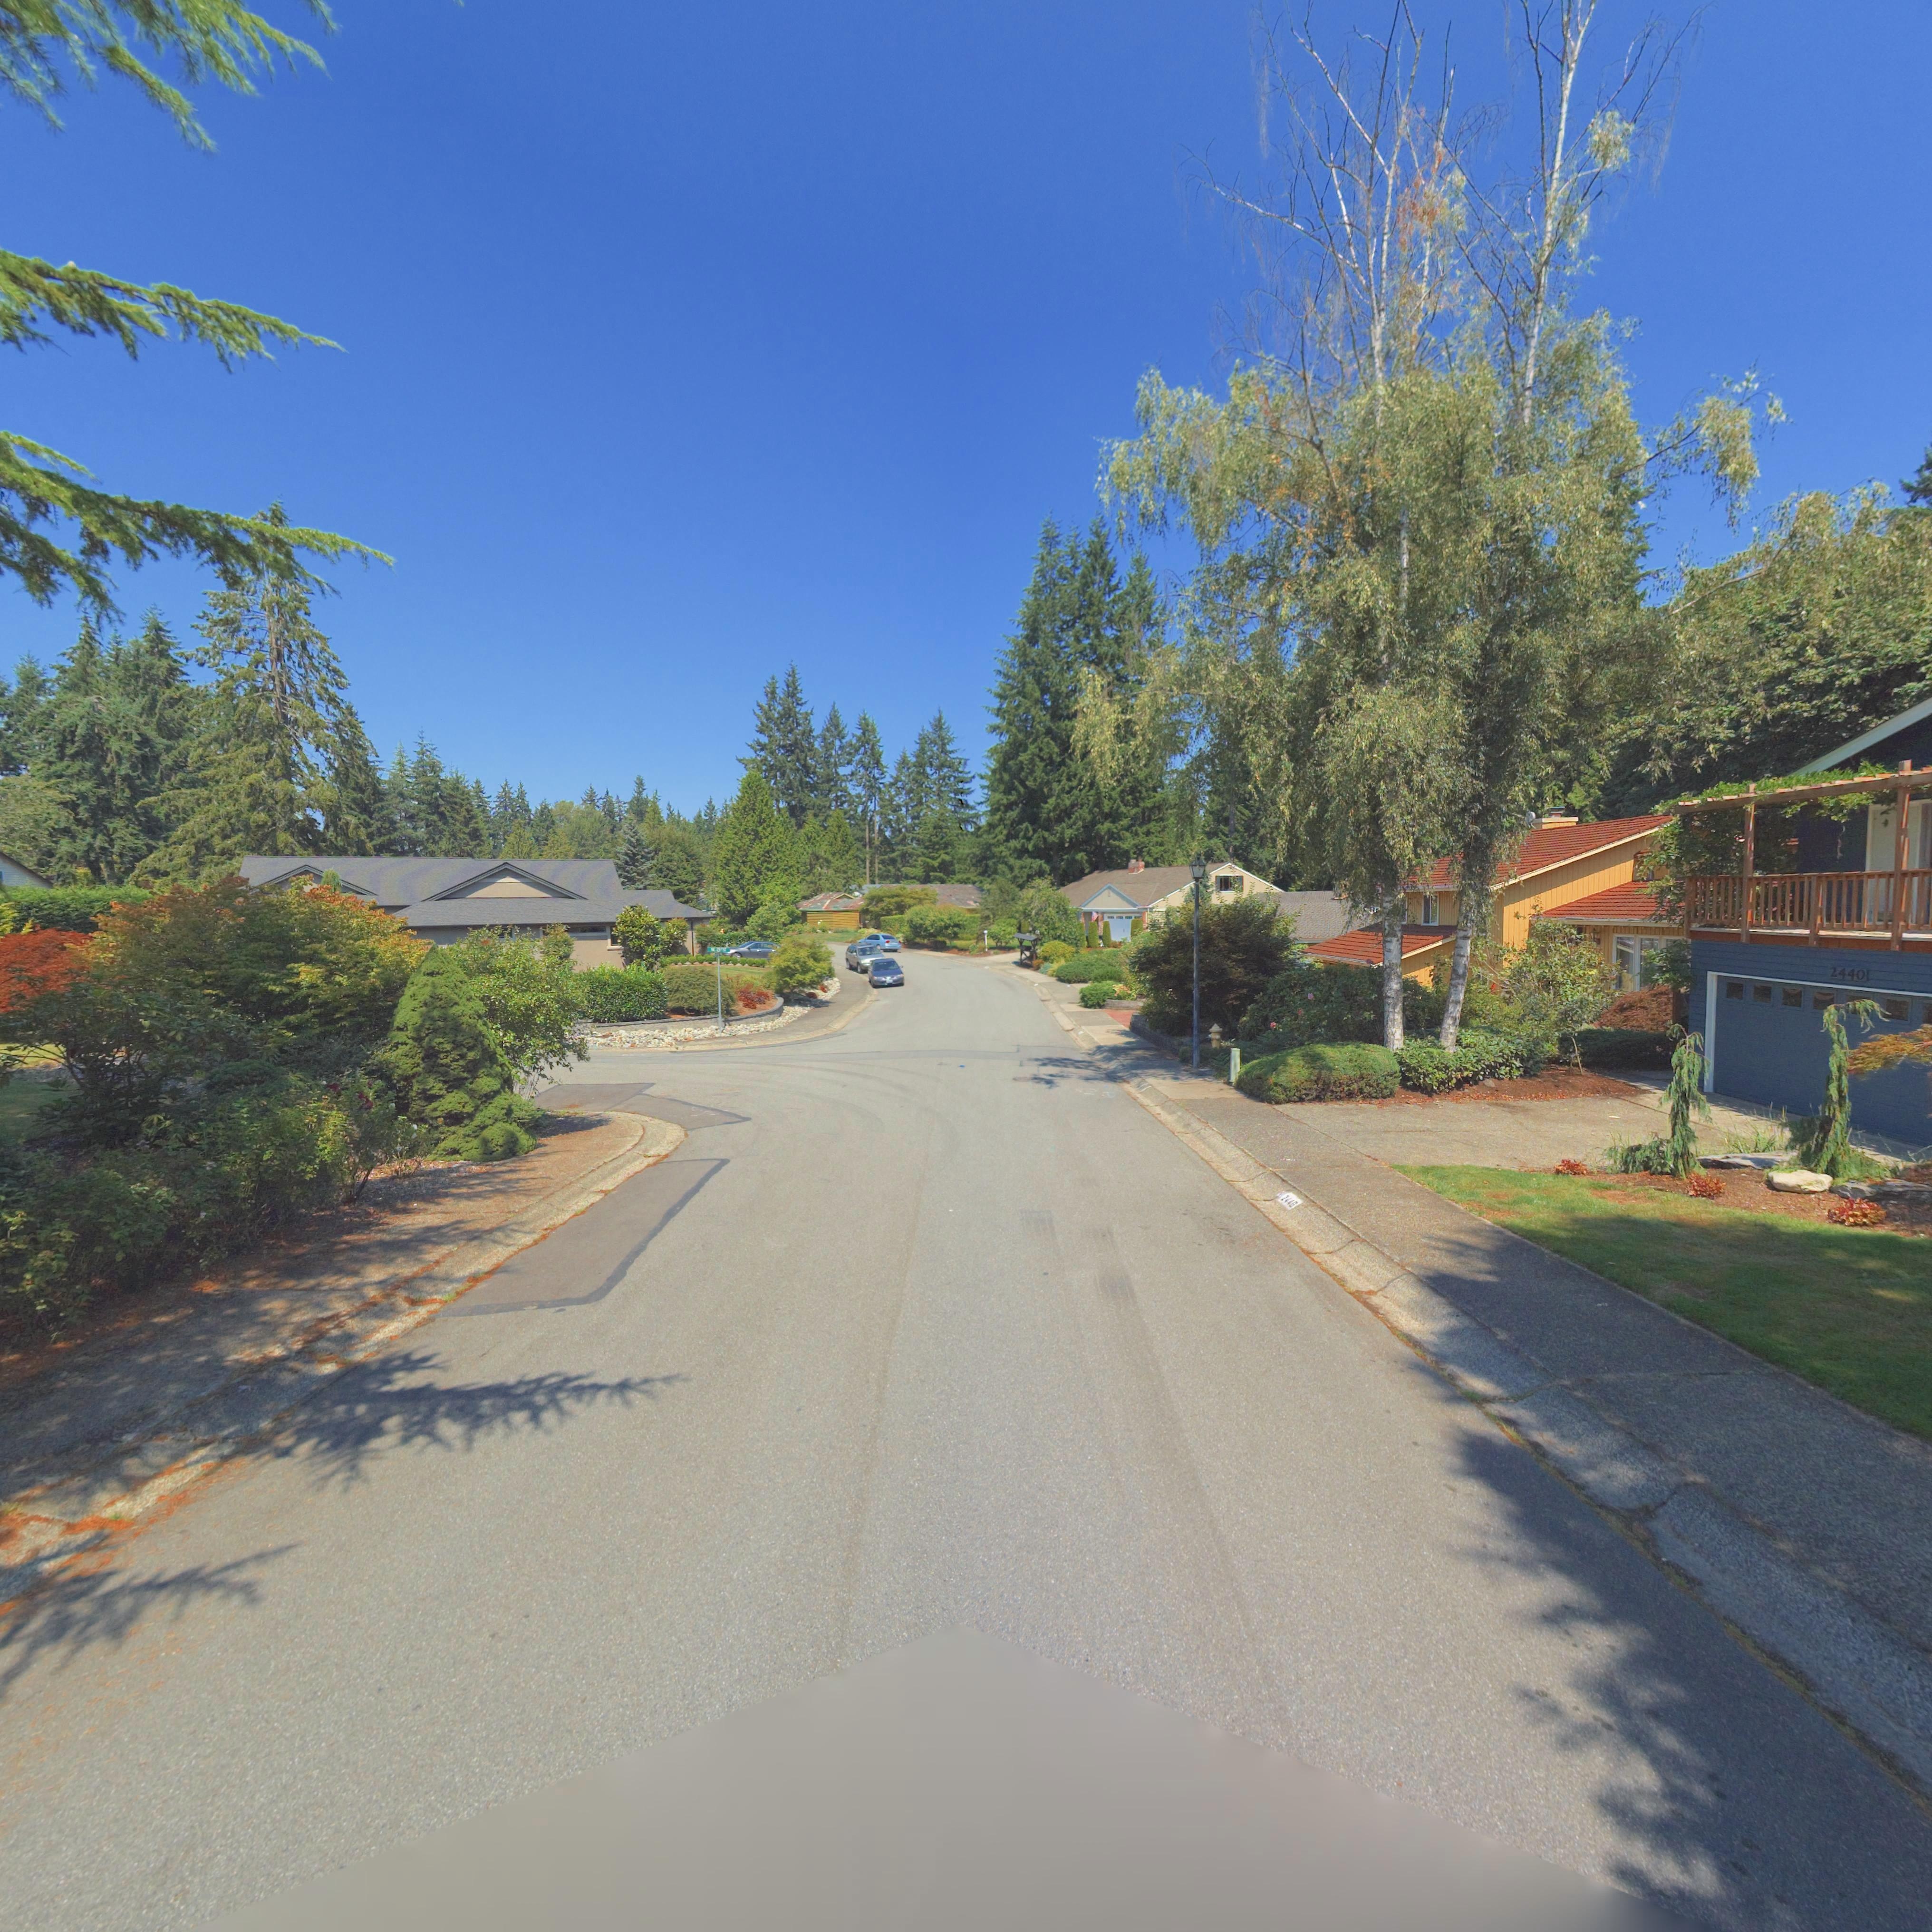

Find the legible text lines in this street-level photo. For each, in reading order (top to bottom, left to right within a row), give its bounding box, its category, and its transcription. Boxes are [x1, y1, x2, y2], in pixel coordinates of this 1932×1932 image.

[1829, 966, 1866, 981] StreetNumber: 2440